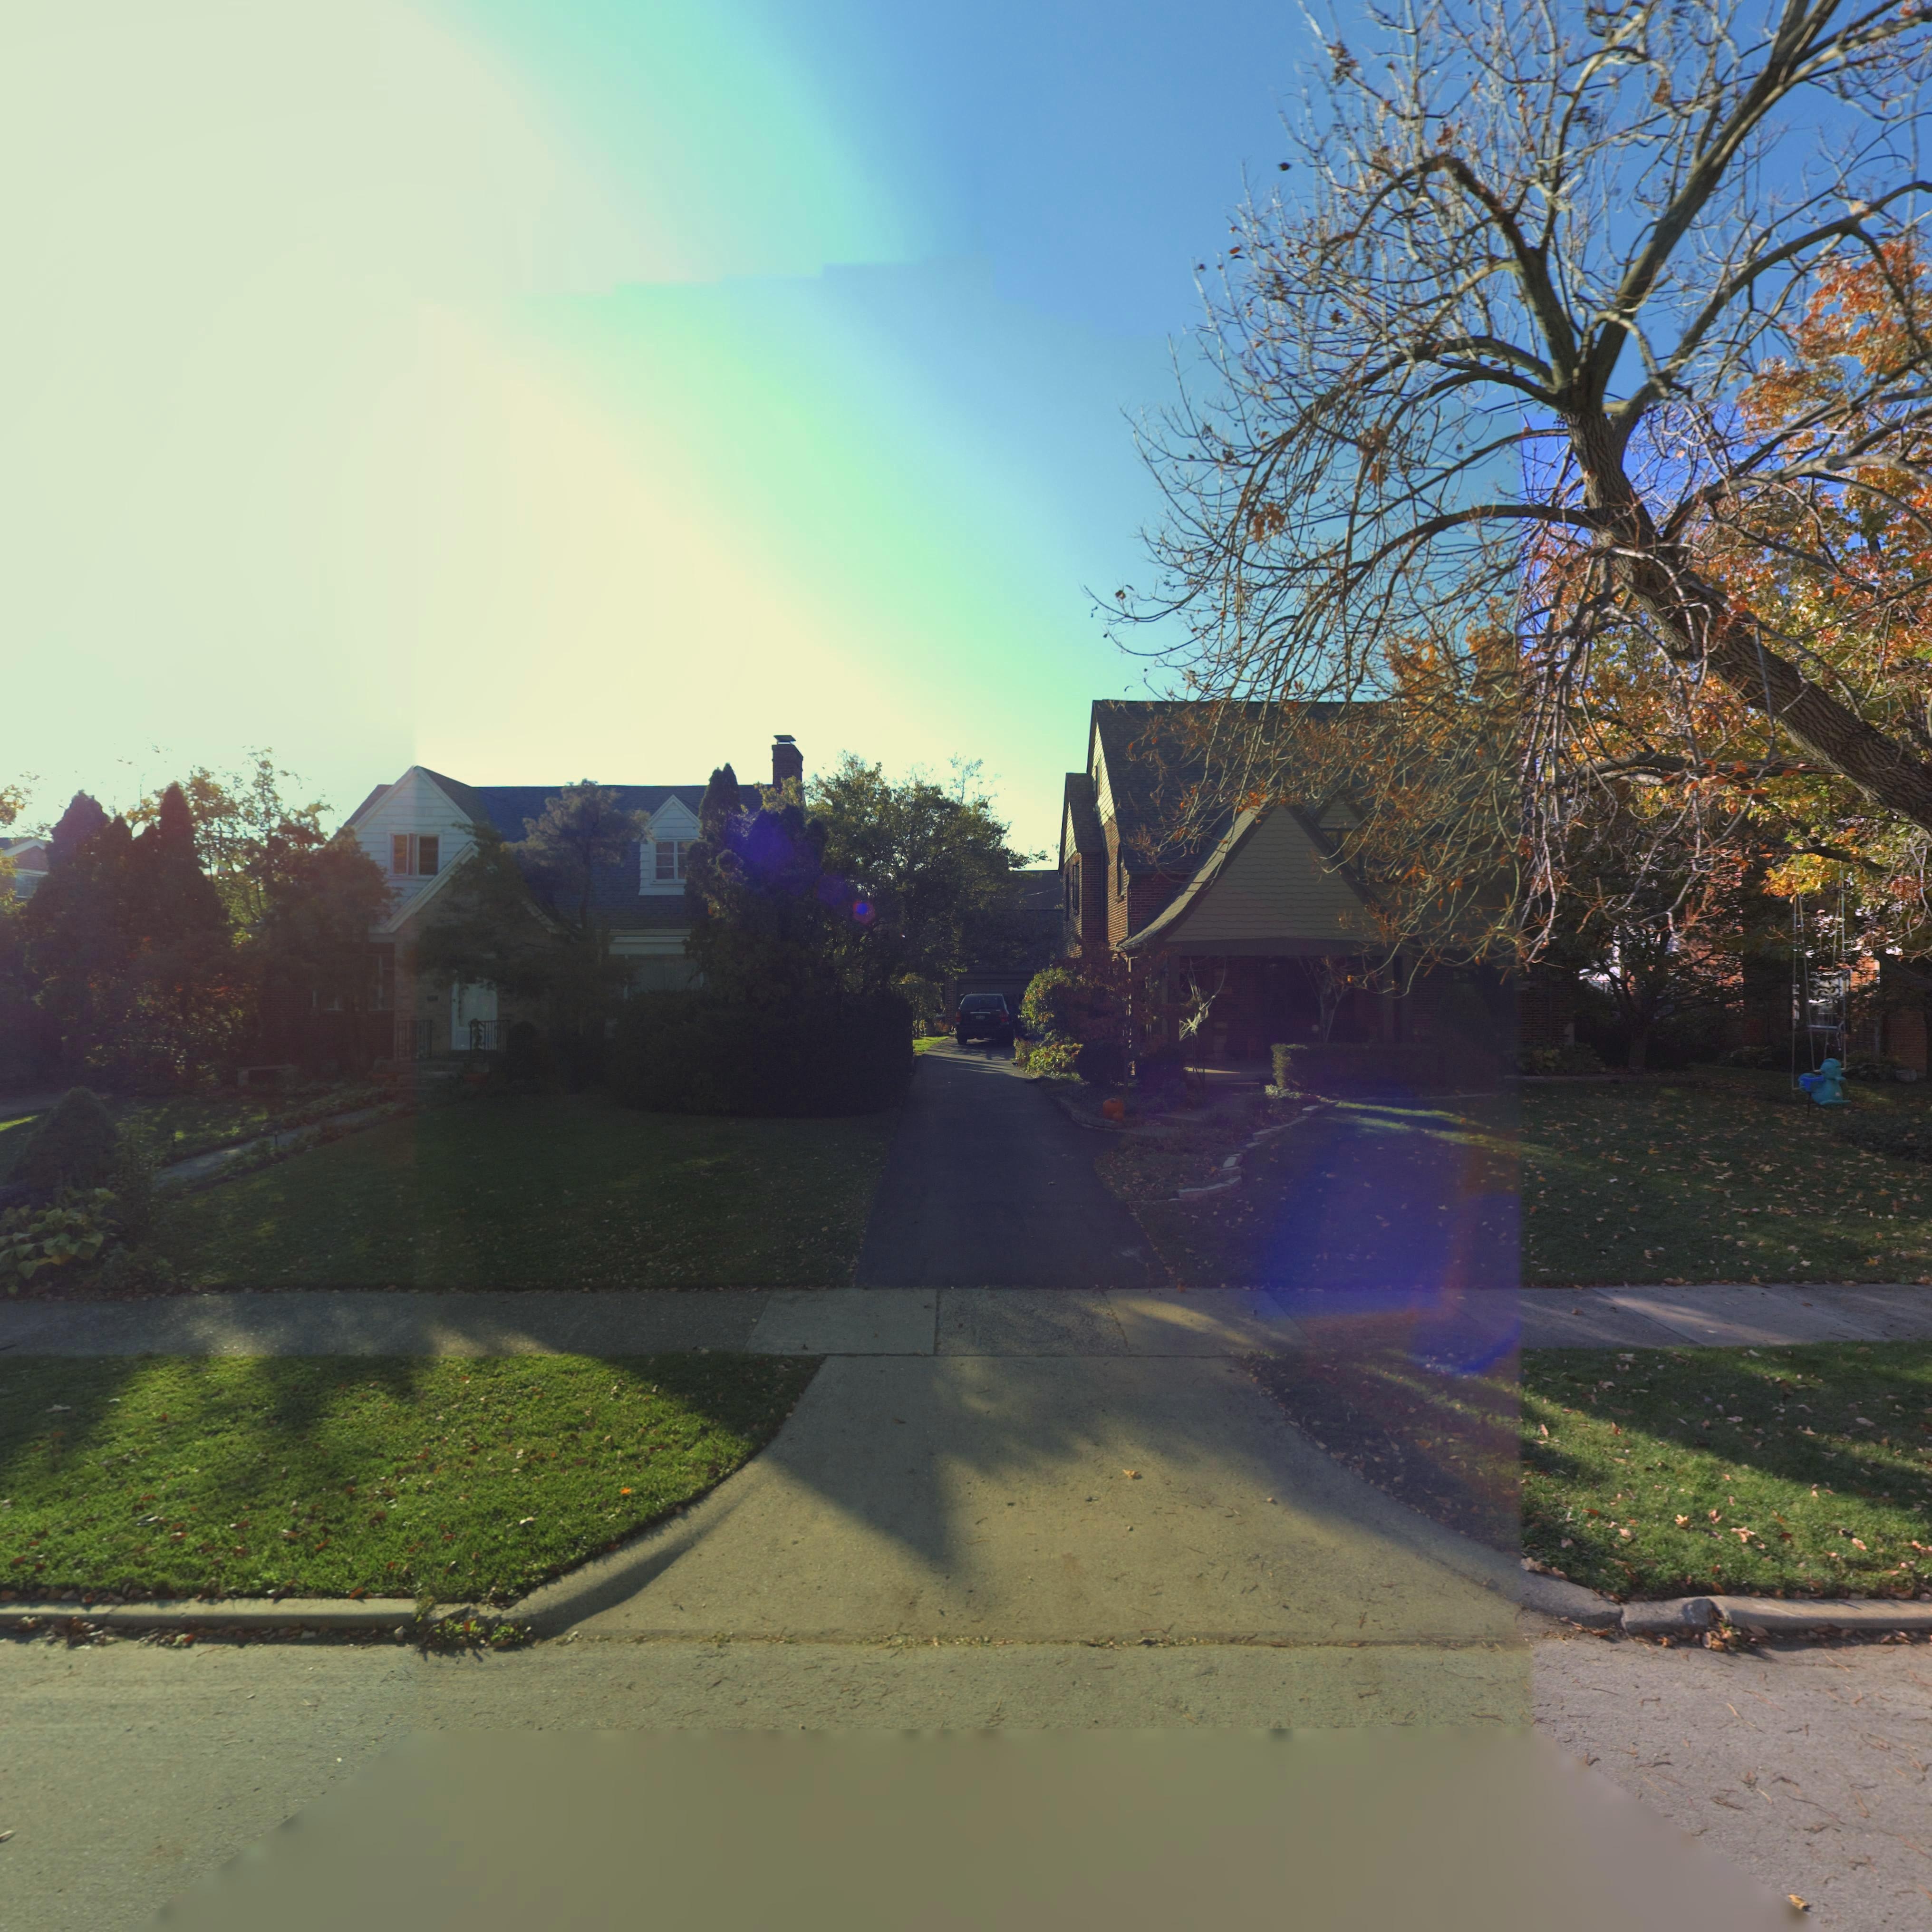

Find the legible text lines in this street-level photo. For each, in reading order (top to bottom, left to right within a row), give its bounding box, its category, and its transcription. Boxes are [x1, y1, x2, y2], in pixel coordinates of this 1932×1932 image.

[1169, 980, 1180, 1005] StreetNumber: 537